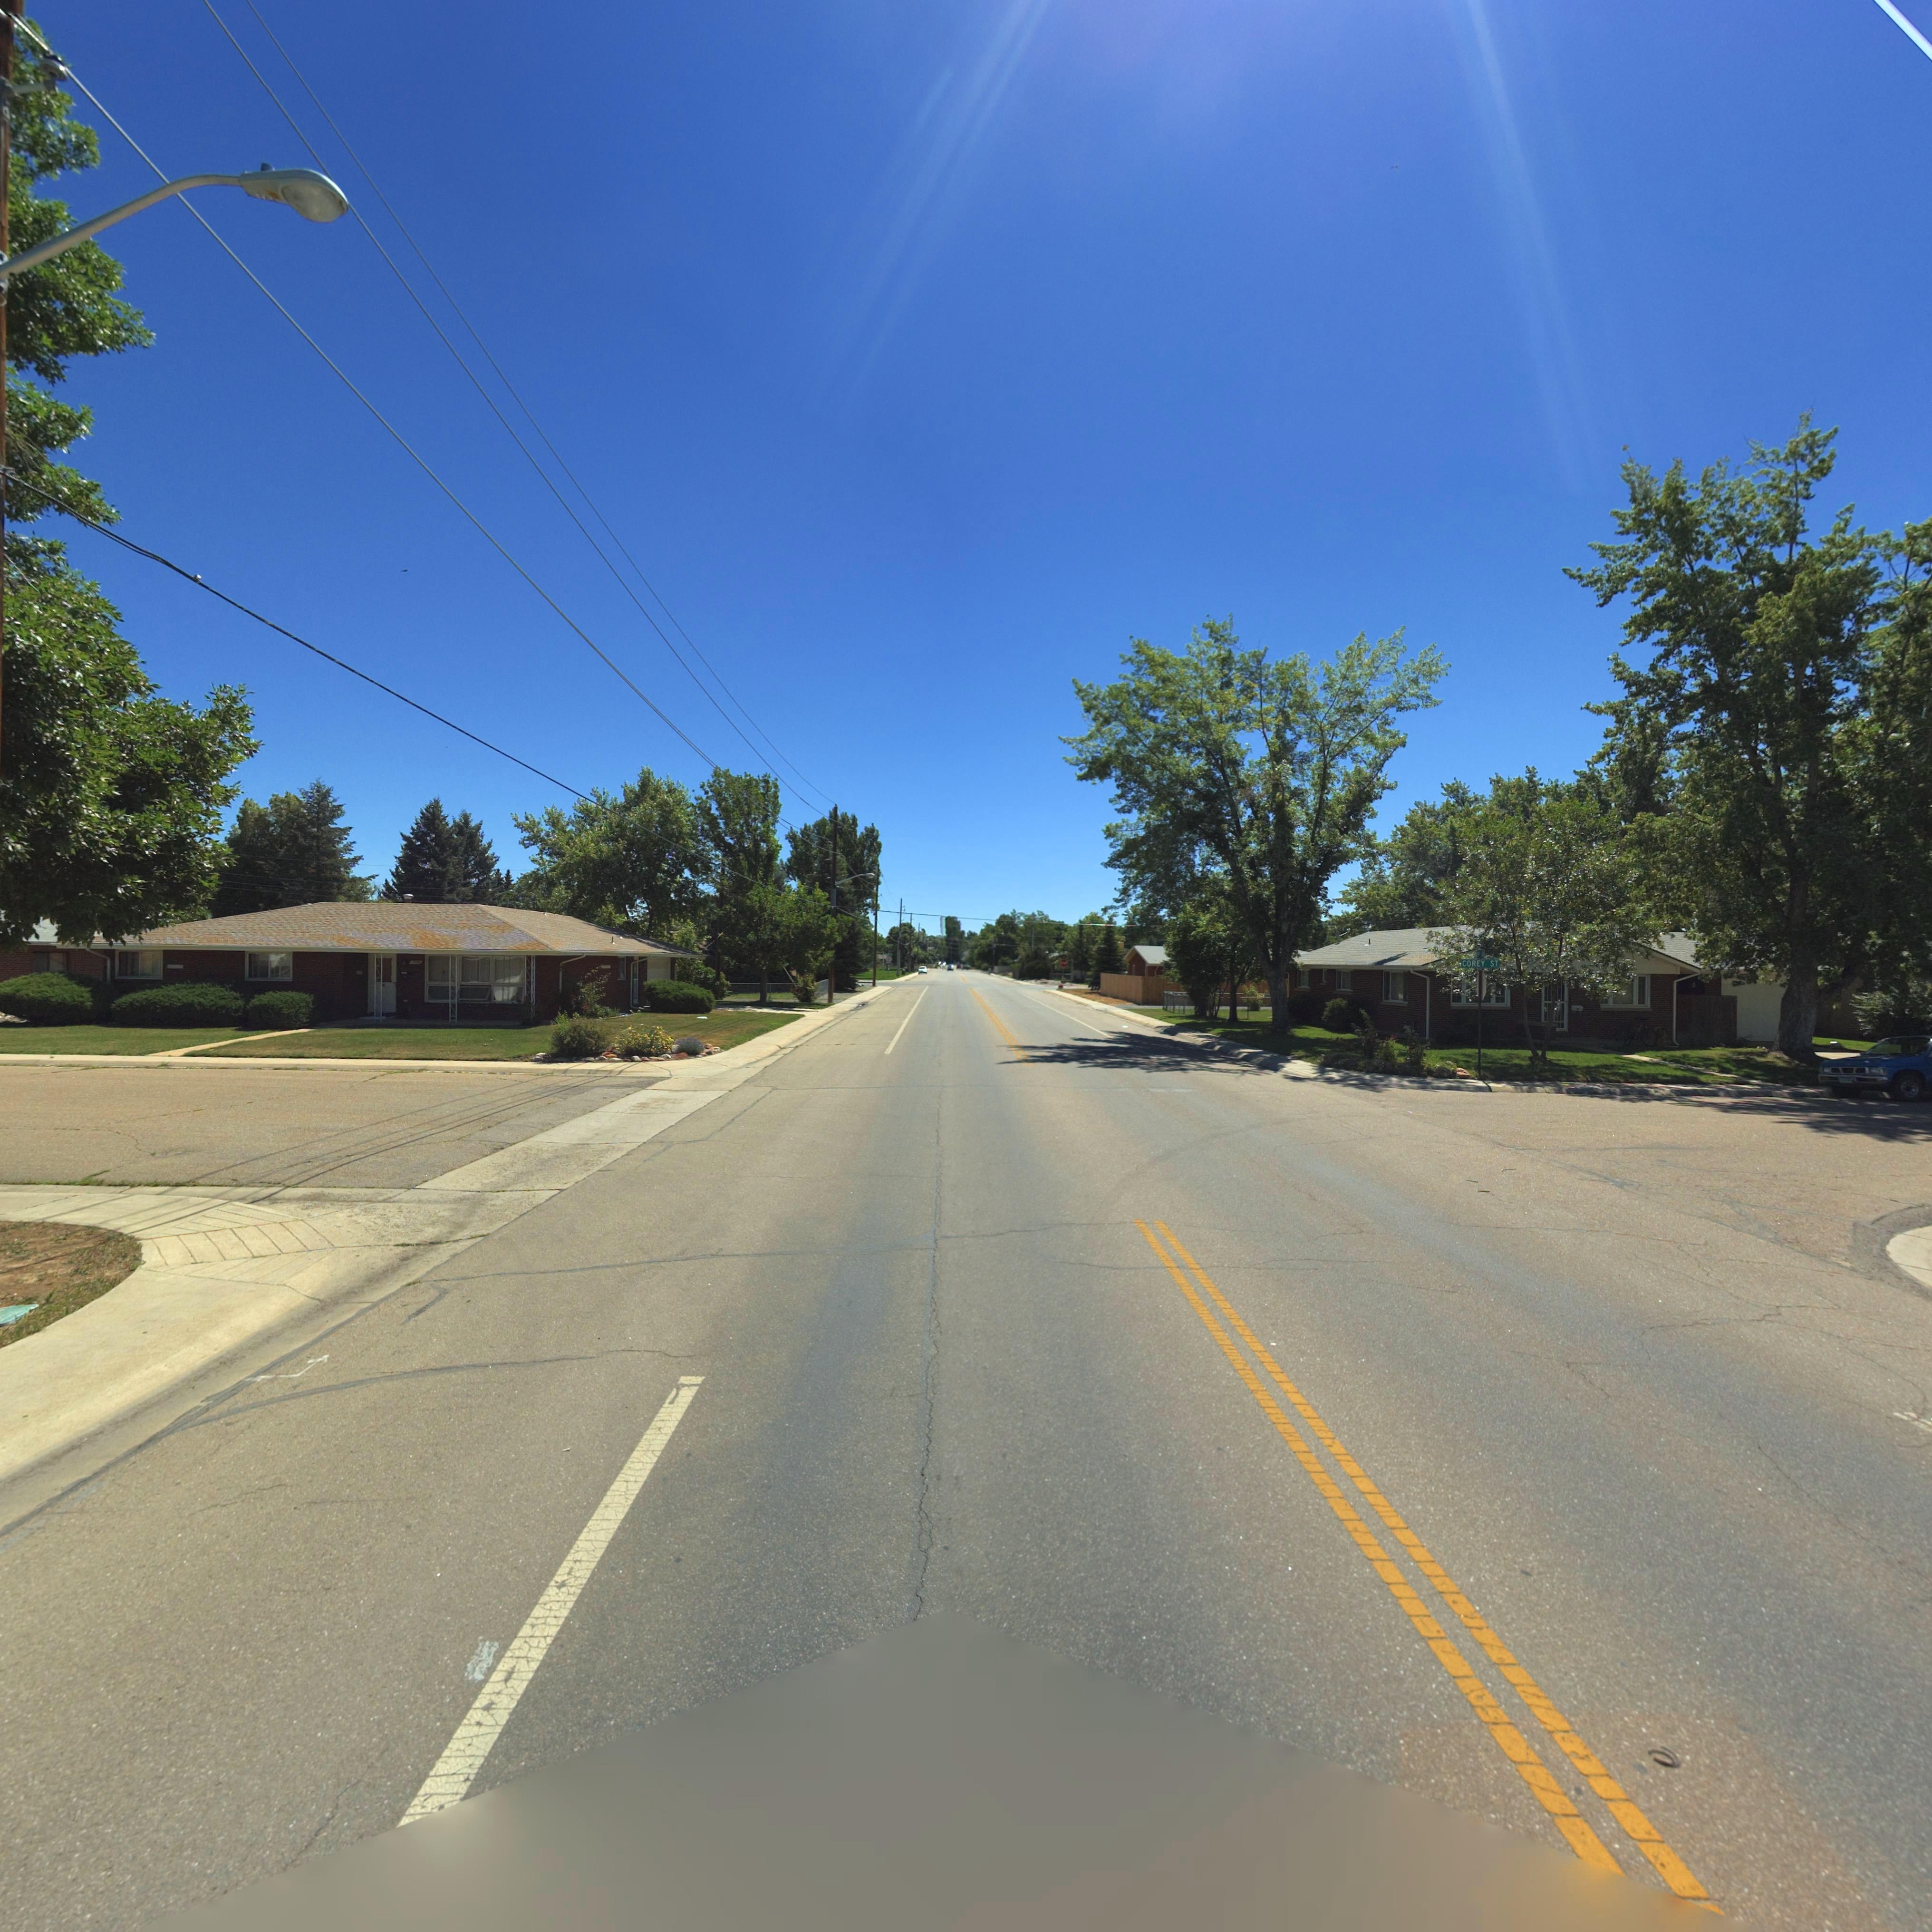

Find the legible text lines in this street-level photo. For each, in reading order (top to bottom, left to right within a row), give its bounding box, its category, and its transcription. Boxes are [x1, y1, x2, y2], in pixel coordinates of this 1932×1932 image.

[1477, 951, 1485, 957] StreetName: 19* *
[408, 960, 421, 964] StreetNumber: 1416
[1462, 960, 1498, 967] StreetName: COREY ST